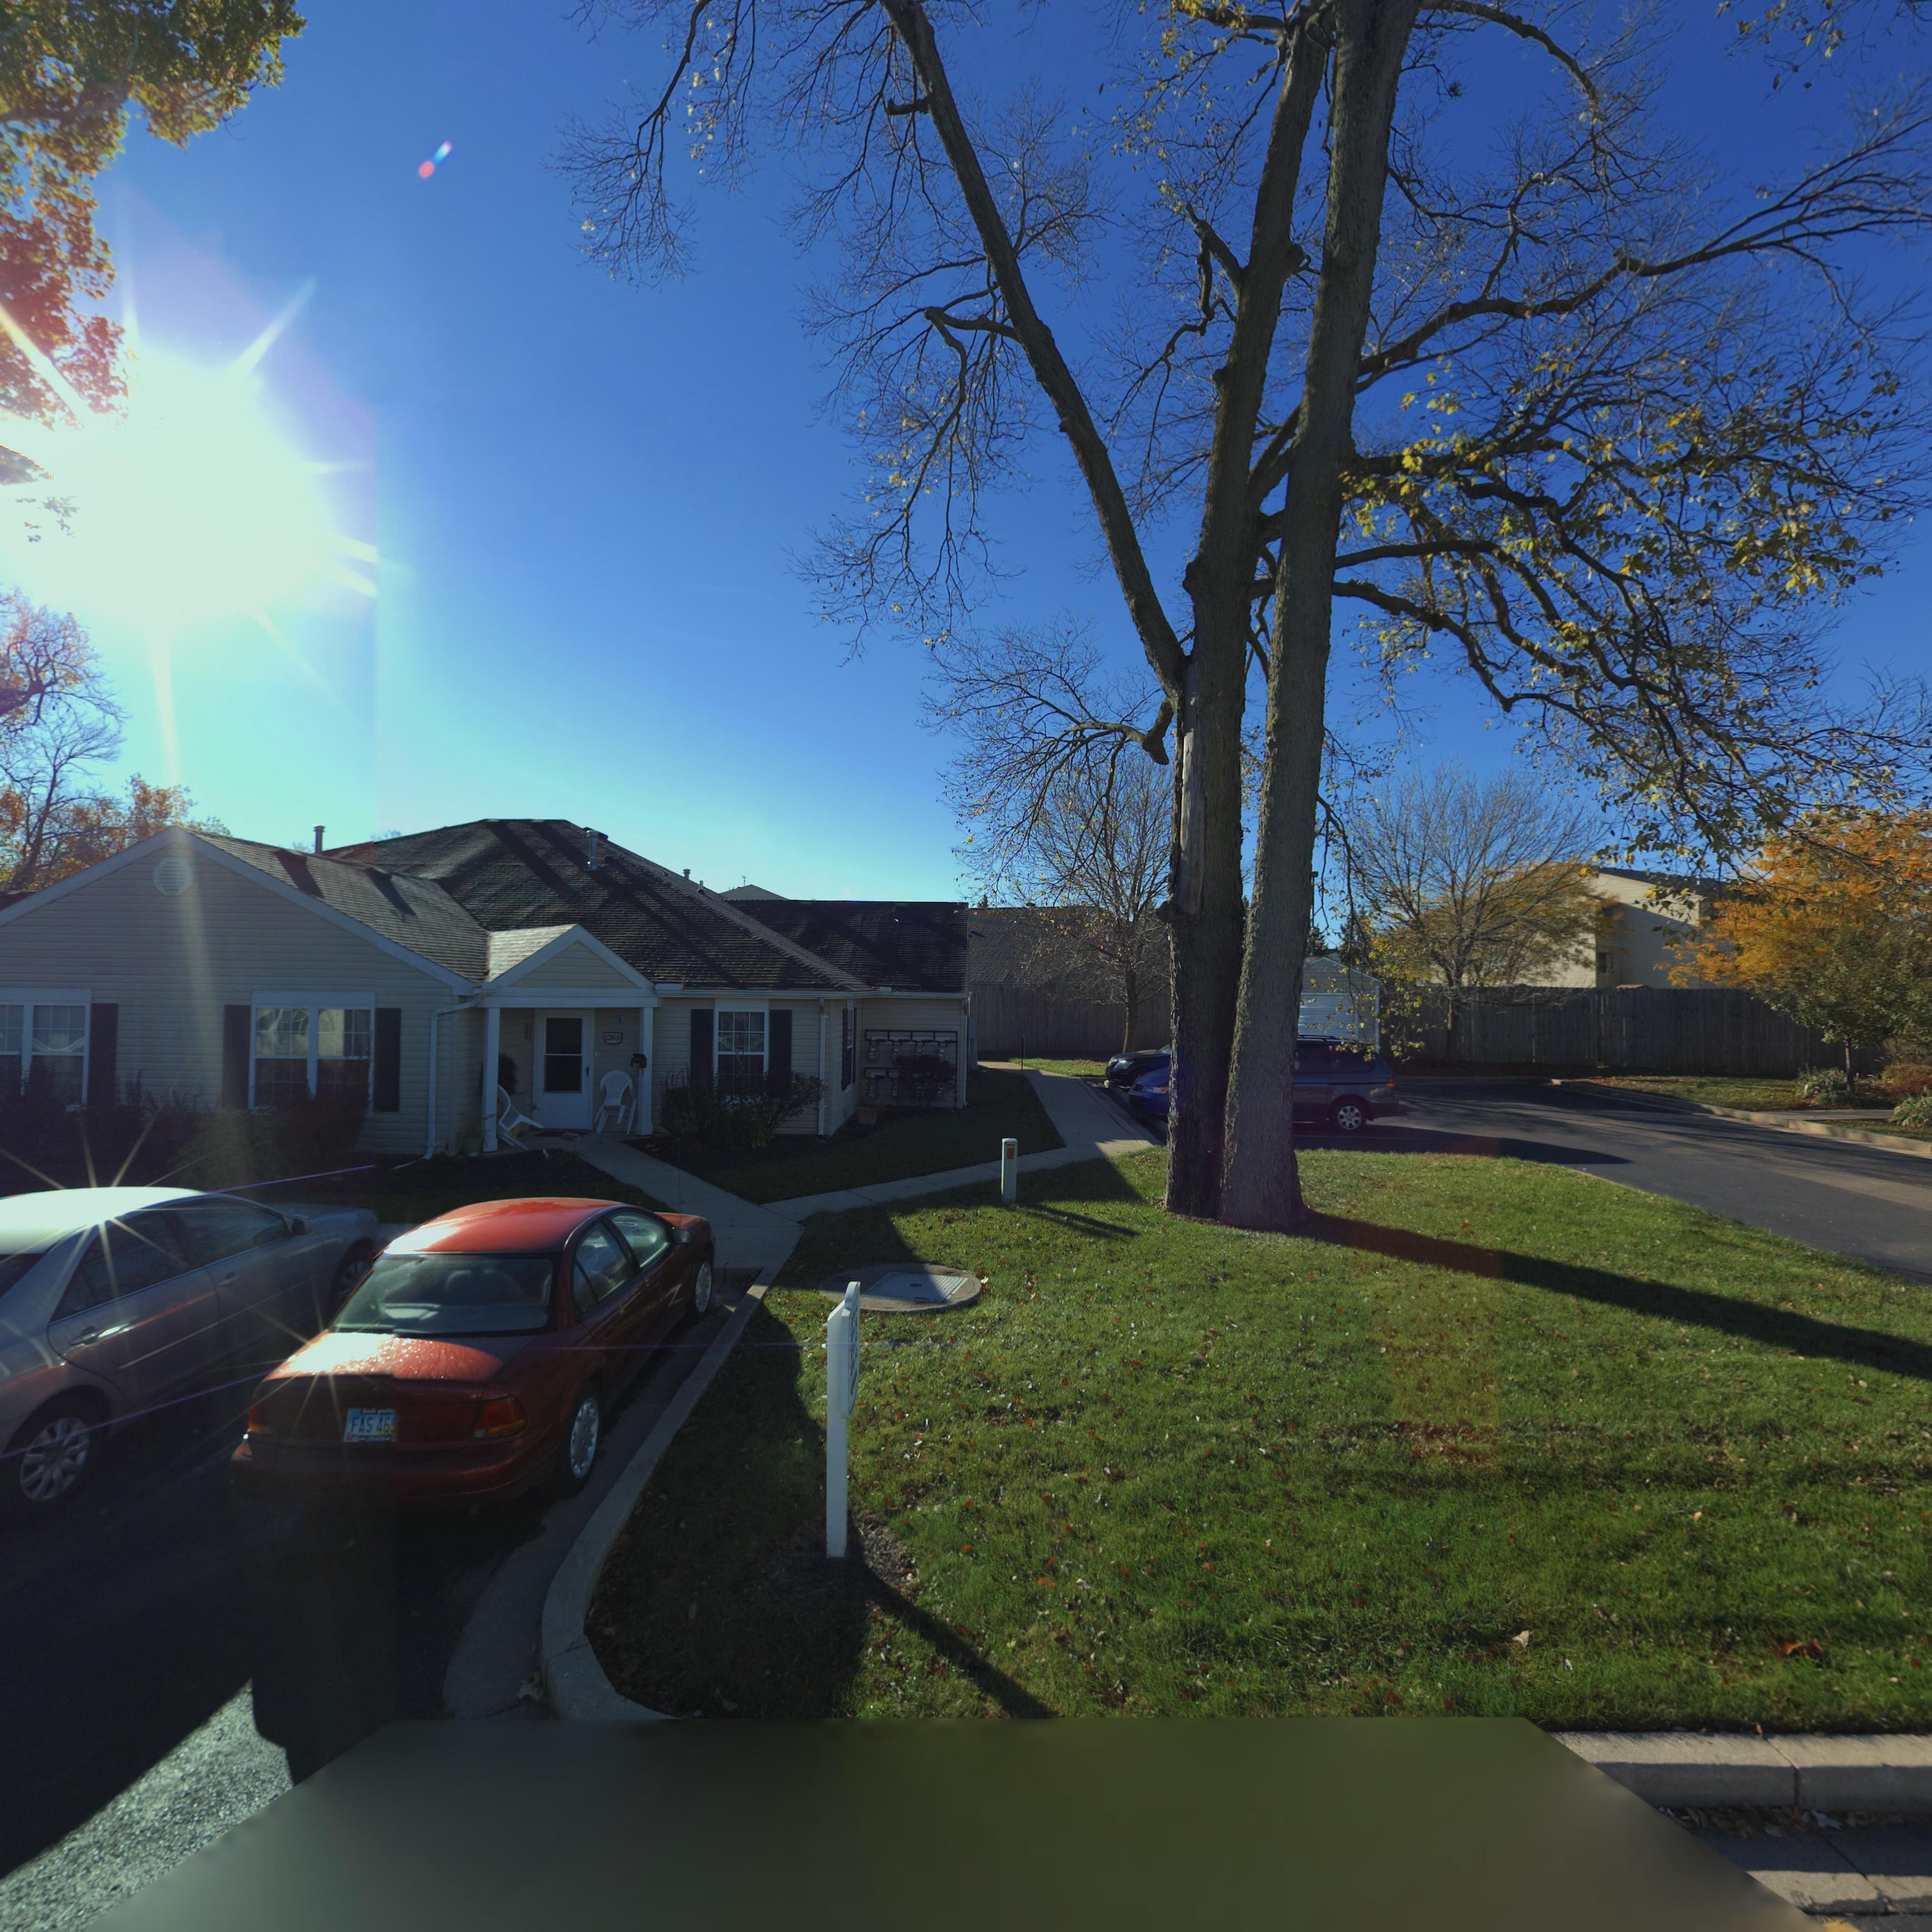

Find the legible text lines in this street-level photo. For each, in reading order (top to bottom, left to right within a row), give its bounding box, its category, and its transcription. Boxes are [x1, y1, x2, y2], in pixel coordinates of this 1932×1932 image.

[604, 1034, 621, 1041] StreetNumber: 5*80 D